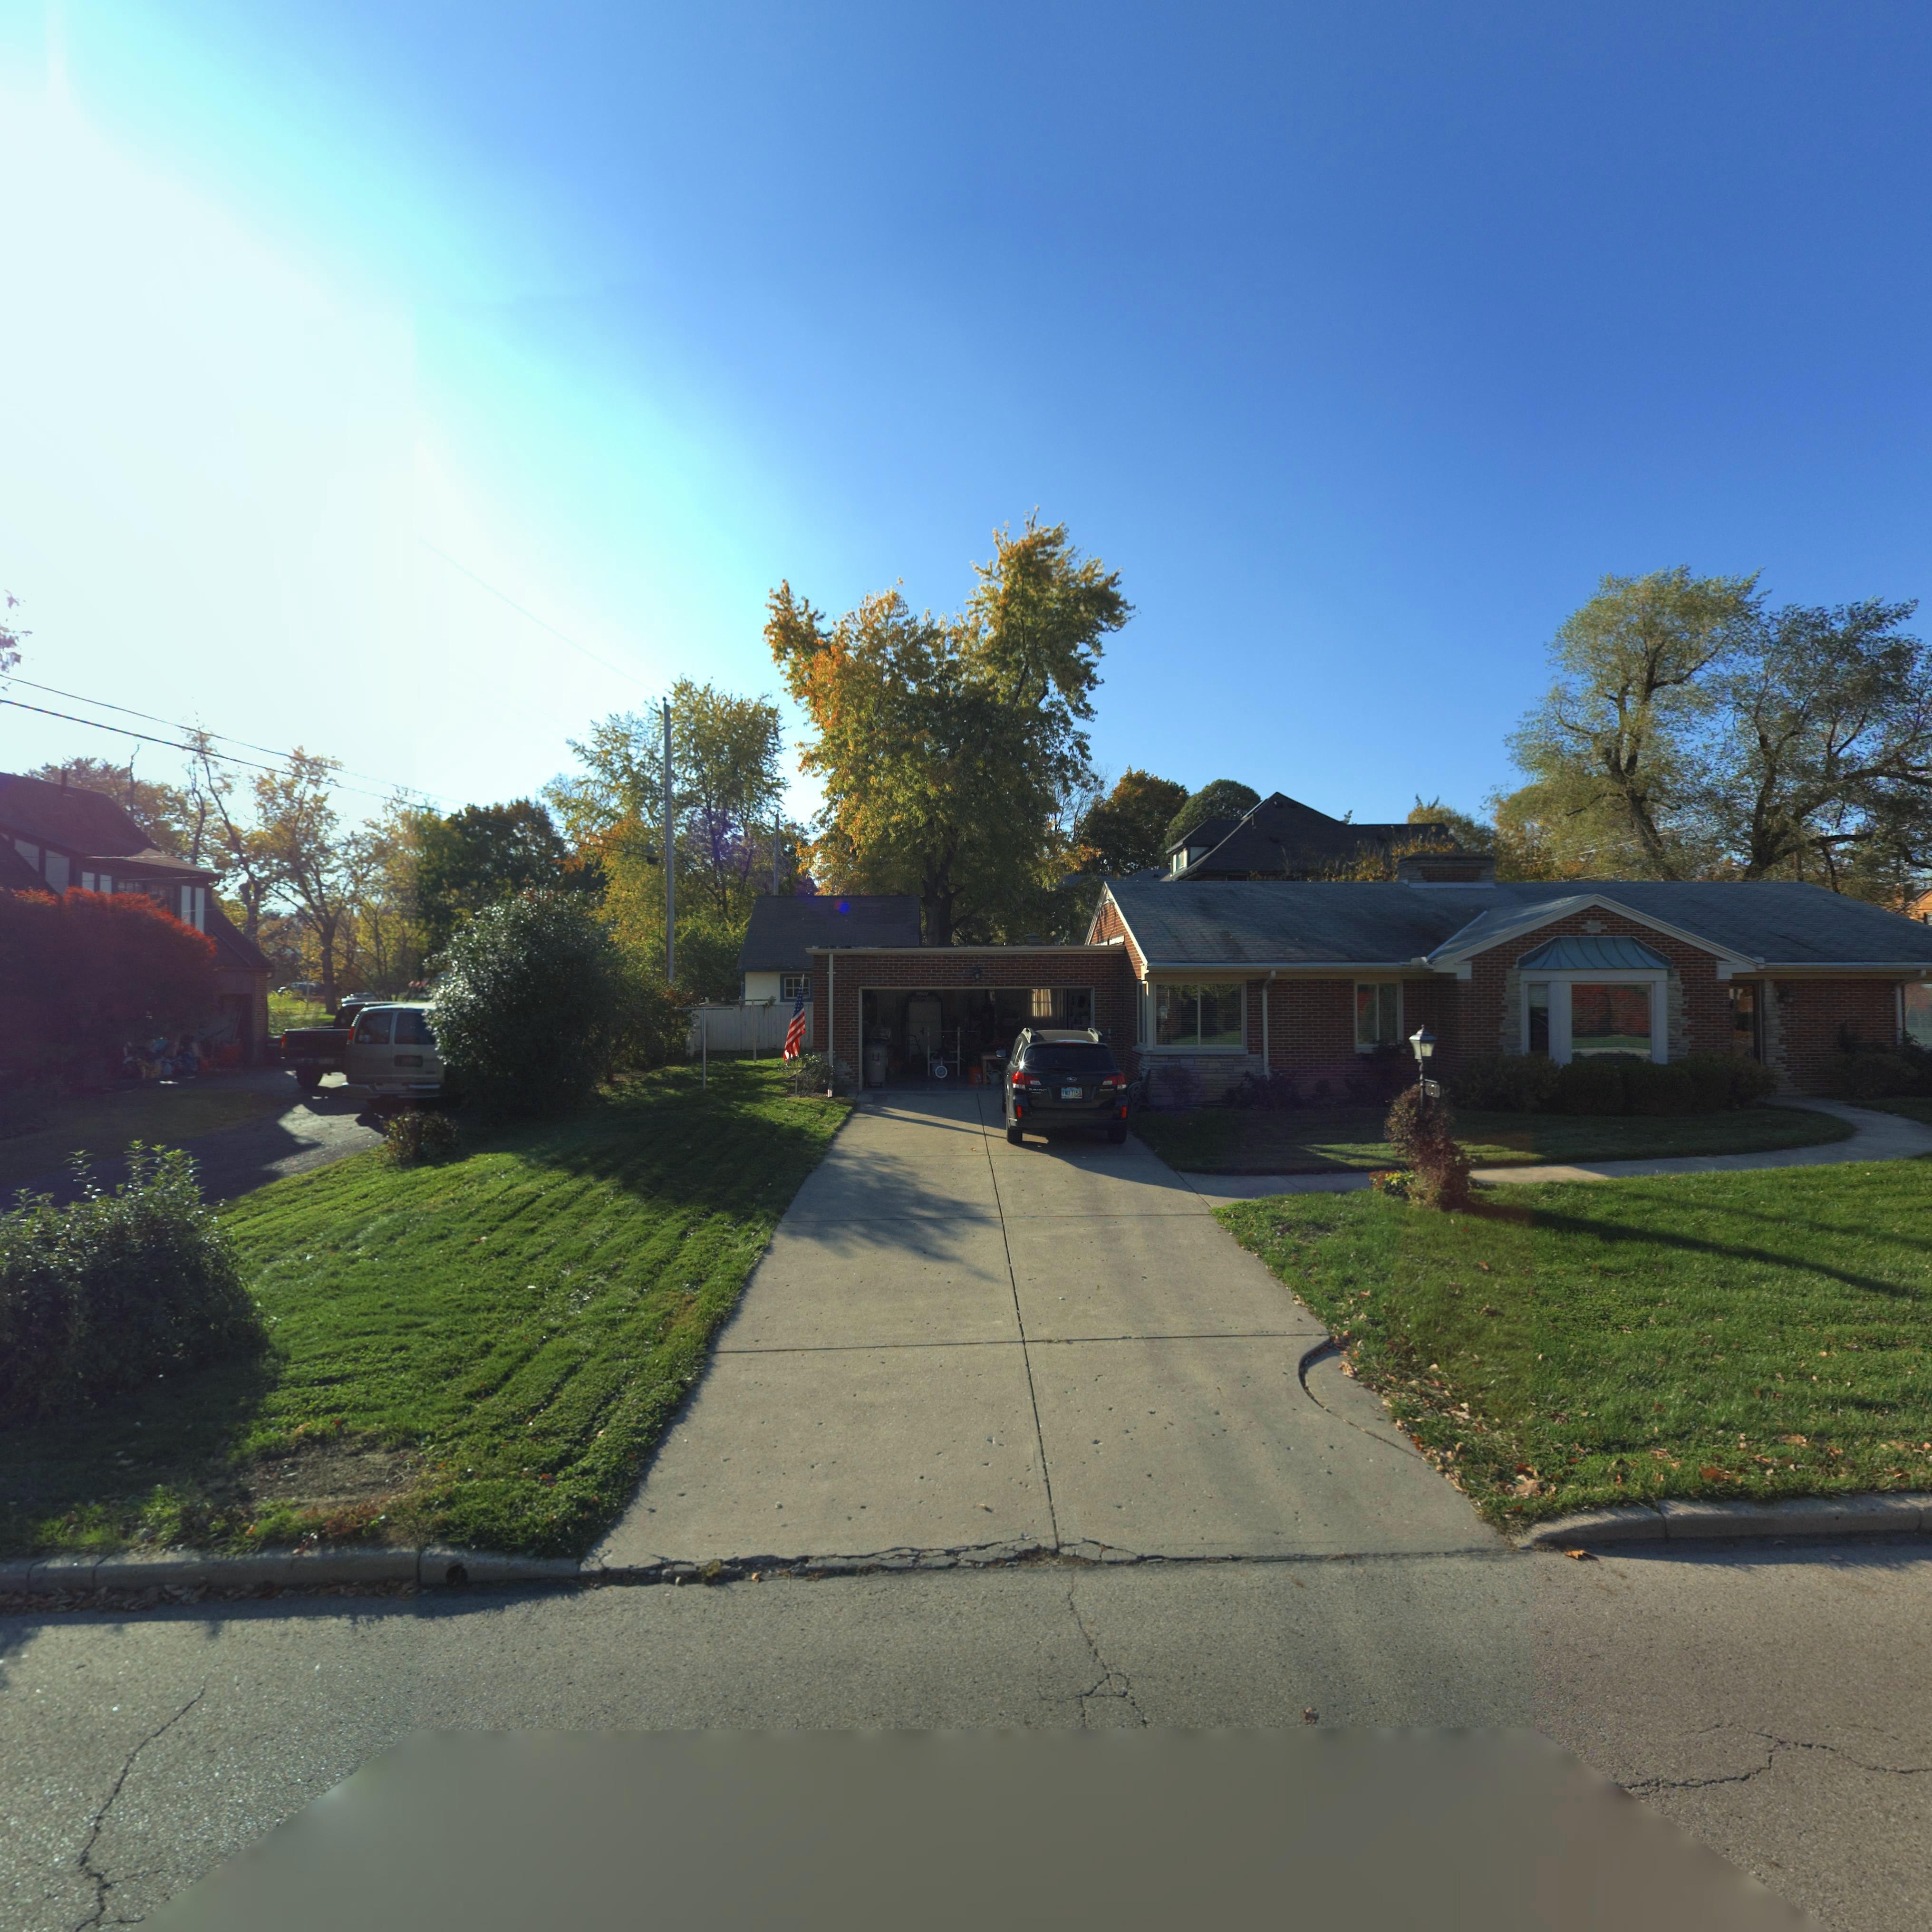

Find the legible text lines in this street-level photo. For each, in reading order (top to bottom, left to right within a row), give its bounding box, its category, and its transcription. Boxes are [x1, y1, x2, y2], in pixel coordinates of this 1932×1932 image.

[1427, 1083, 1438, 1096] StreetNumber: 707